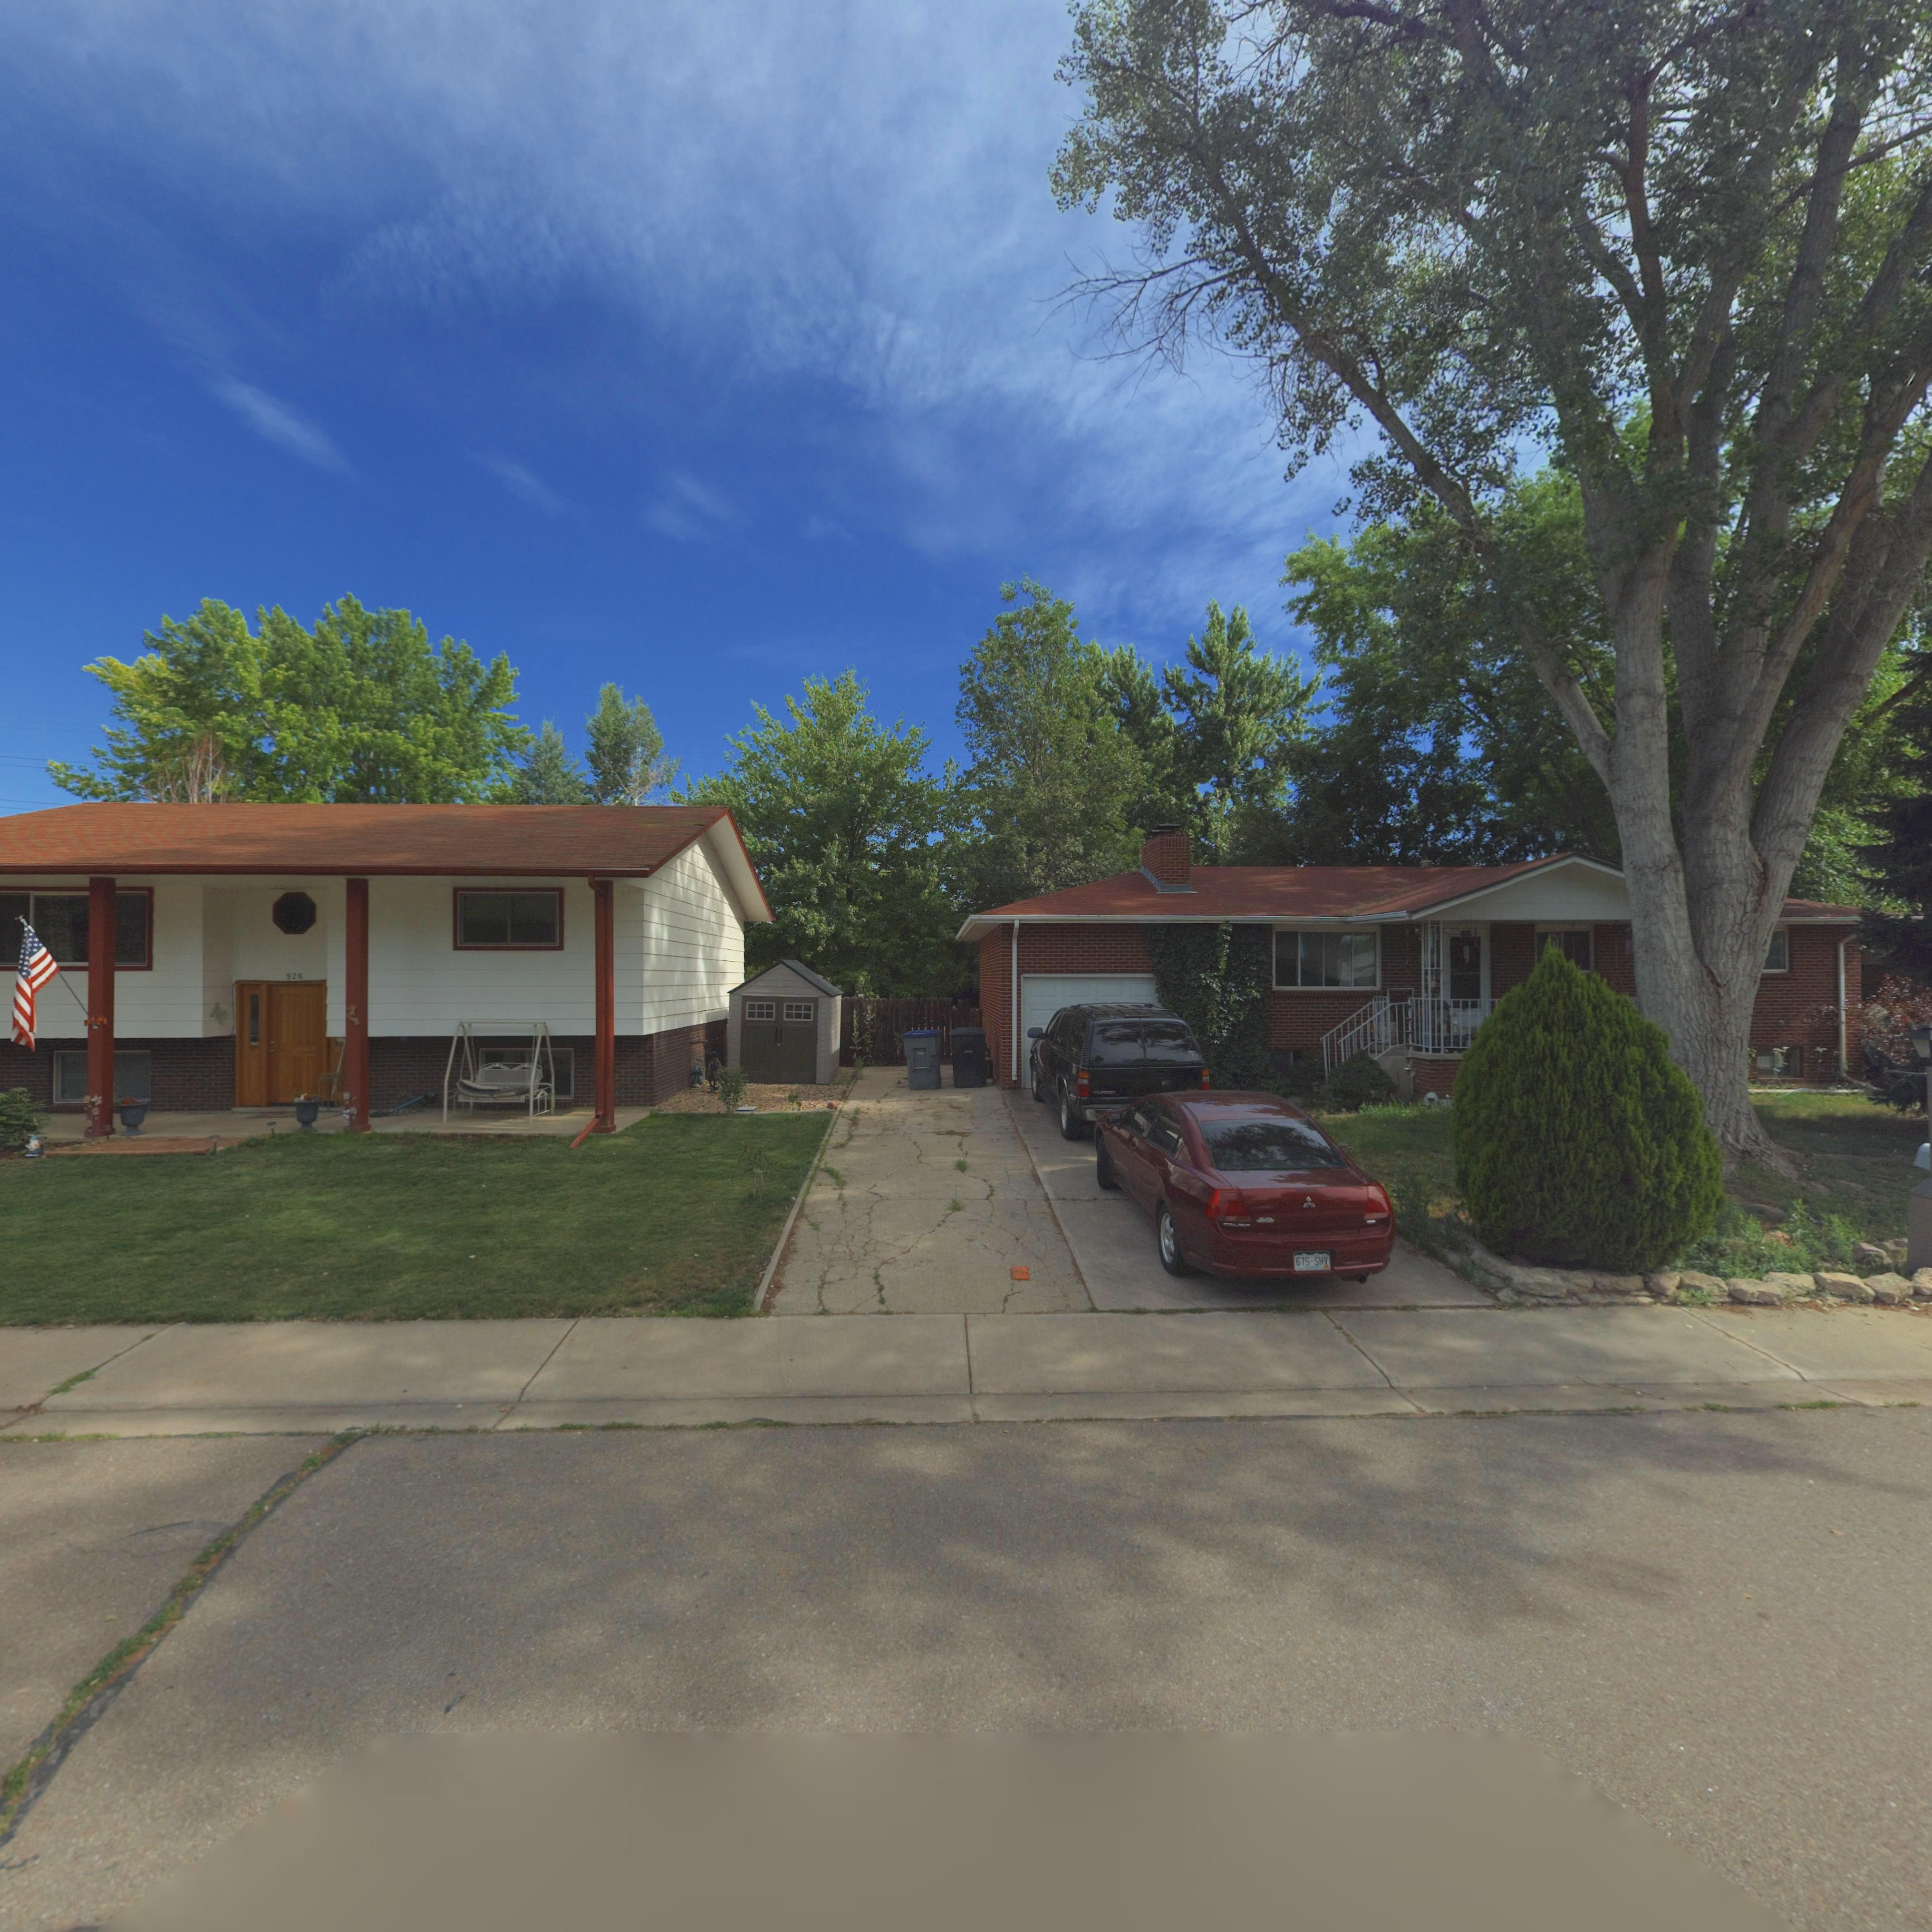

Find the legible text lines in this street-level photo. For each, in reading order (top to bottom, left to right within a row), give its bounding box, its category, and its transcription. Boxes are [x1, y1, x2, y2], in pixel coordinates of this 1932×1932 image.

[286, 972, 303, 980] StreetNumber: 926